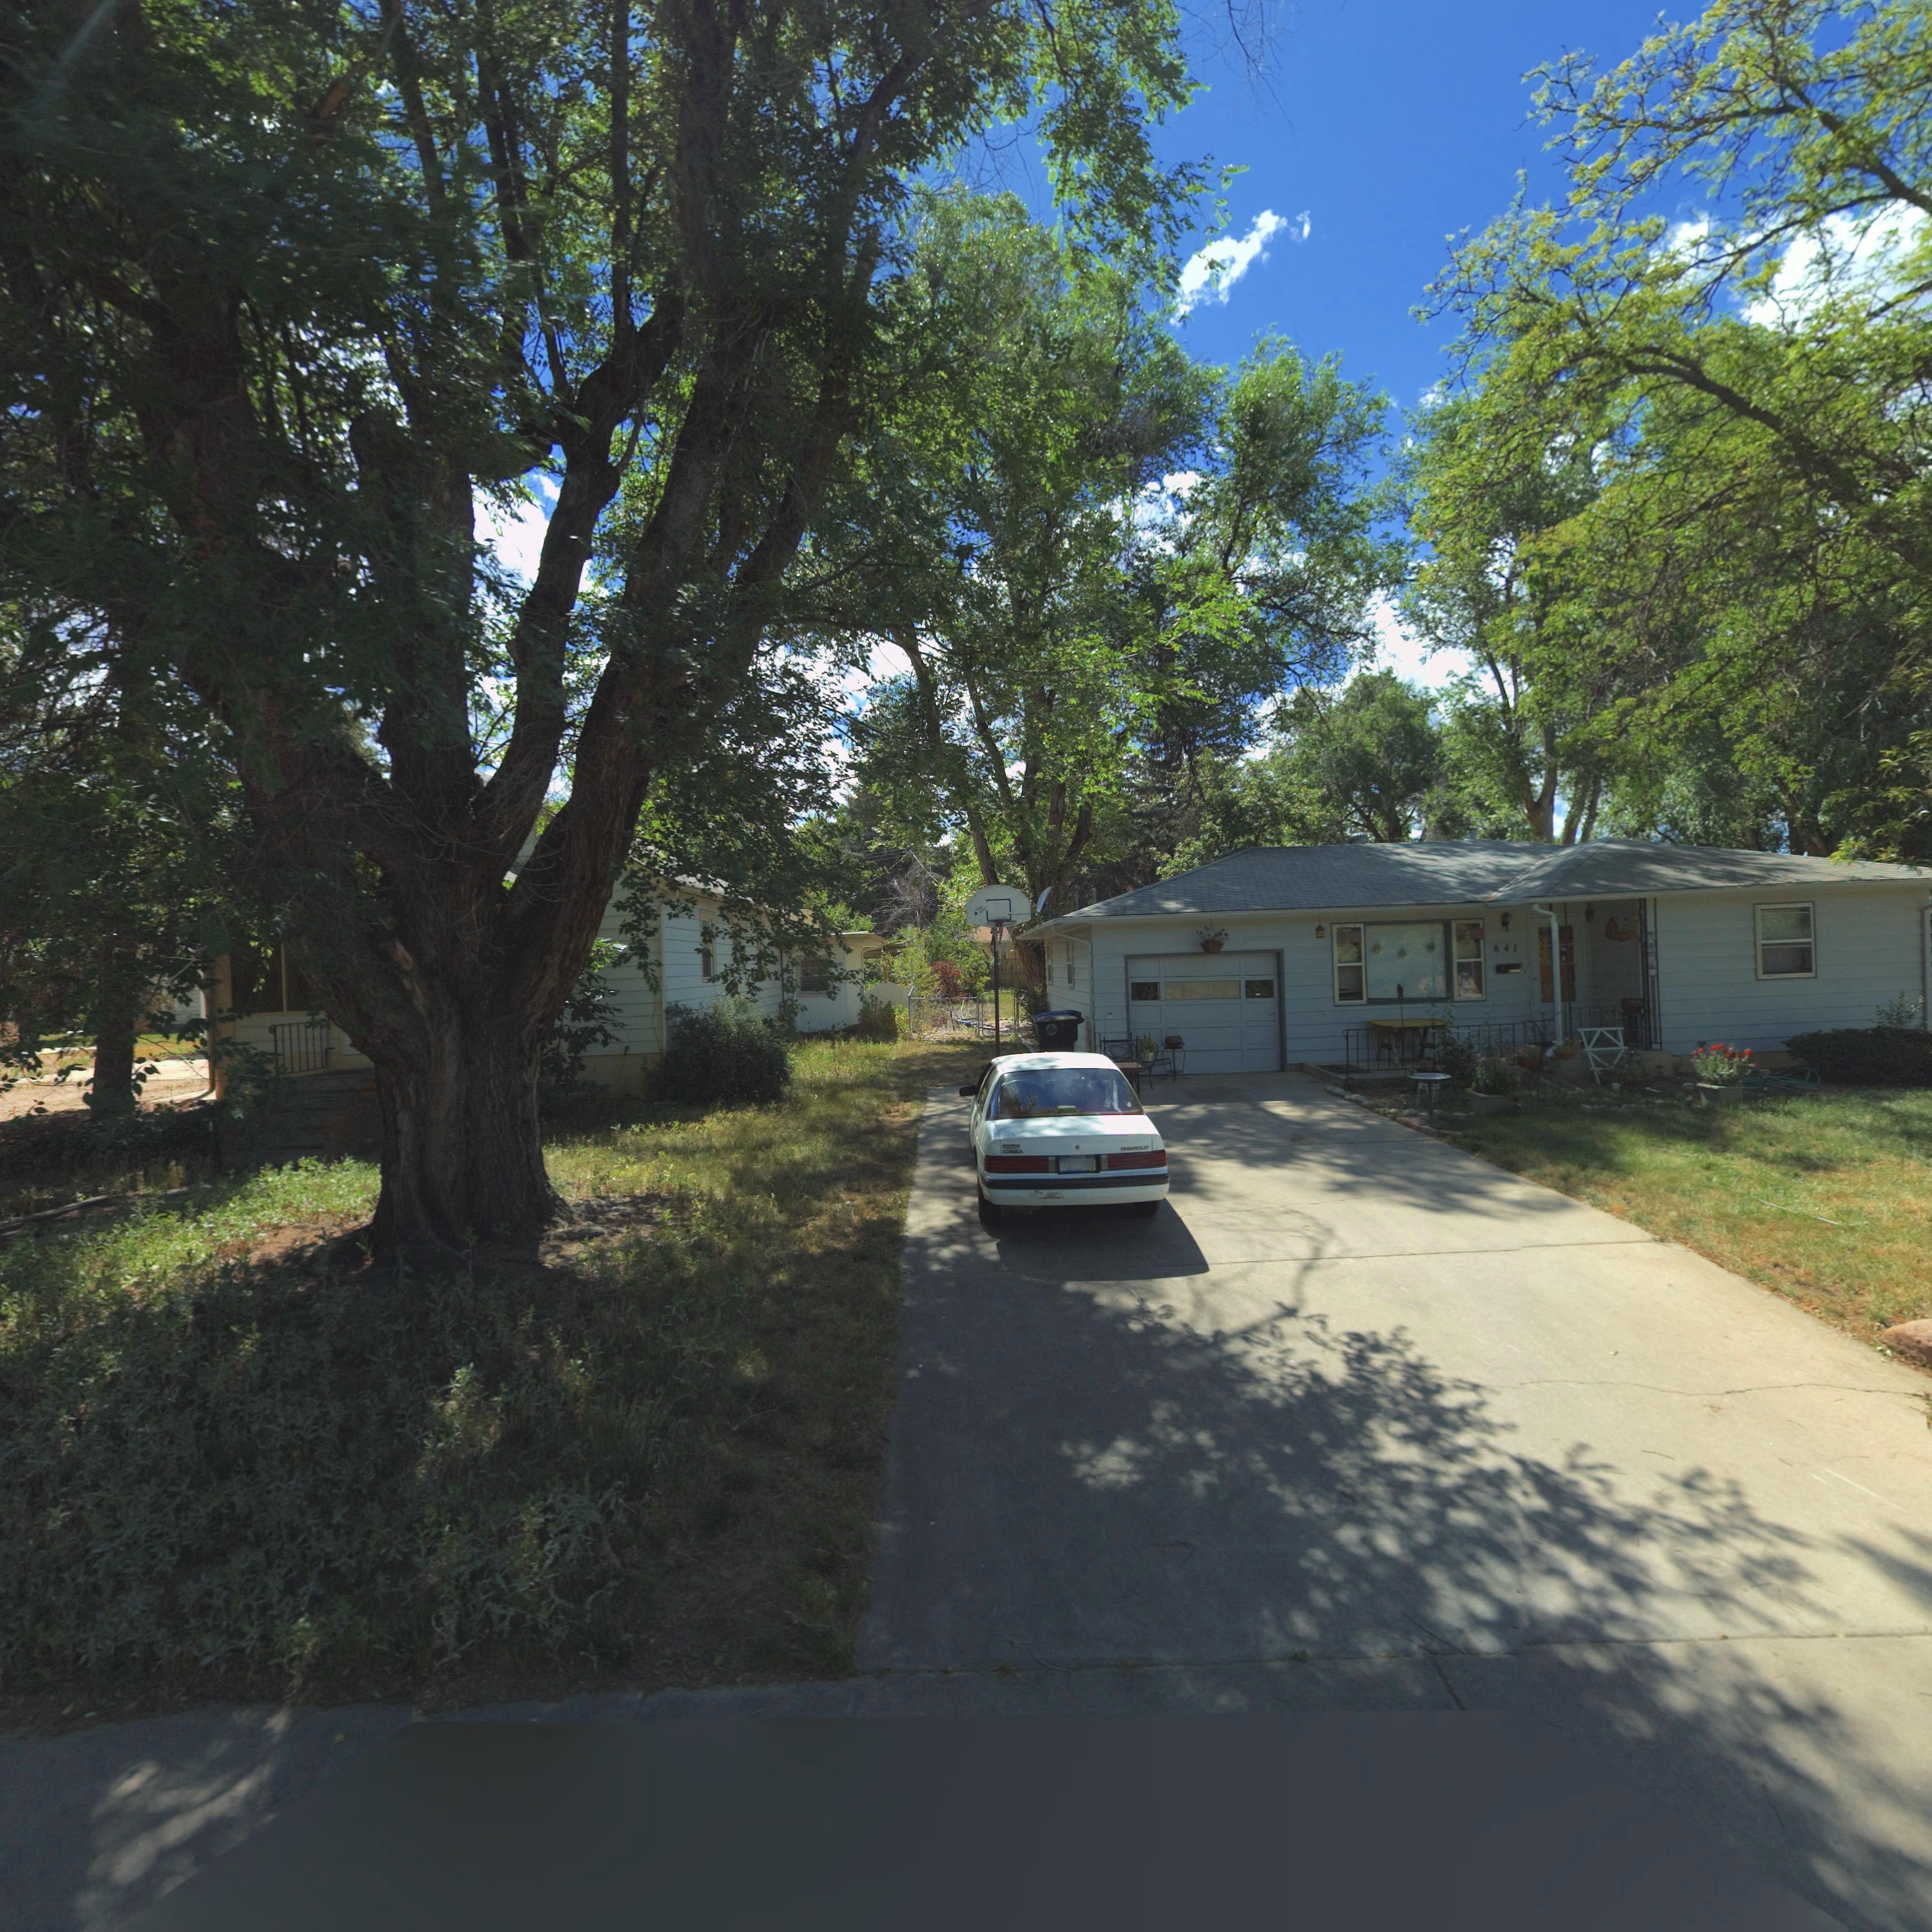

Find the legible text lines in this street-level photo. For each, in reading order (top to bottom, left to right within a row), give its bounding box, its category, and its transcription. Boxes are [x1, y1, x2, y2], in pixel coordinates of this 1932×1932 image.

[1493, 943, 1517, 953] StreetNumber: 841